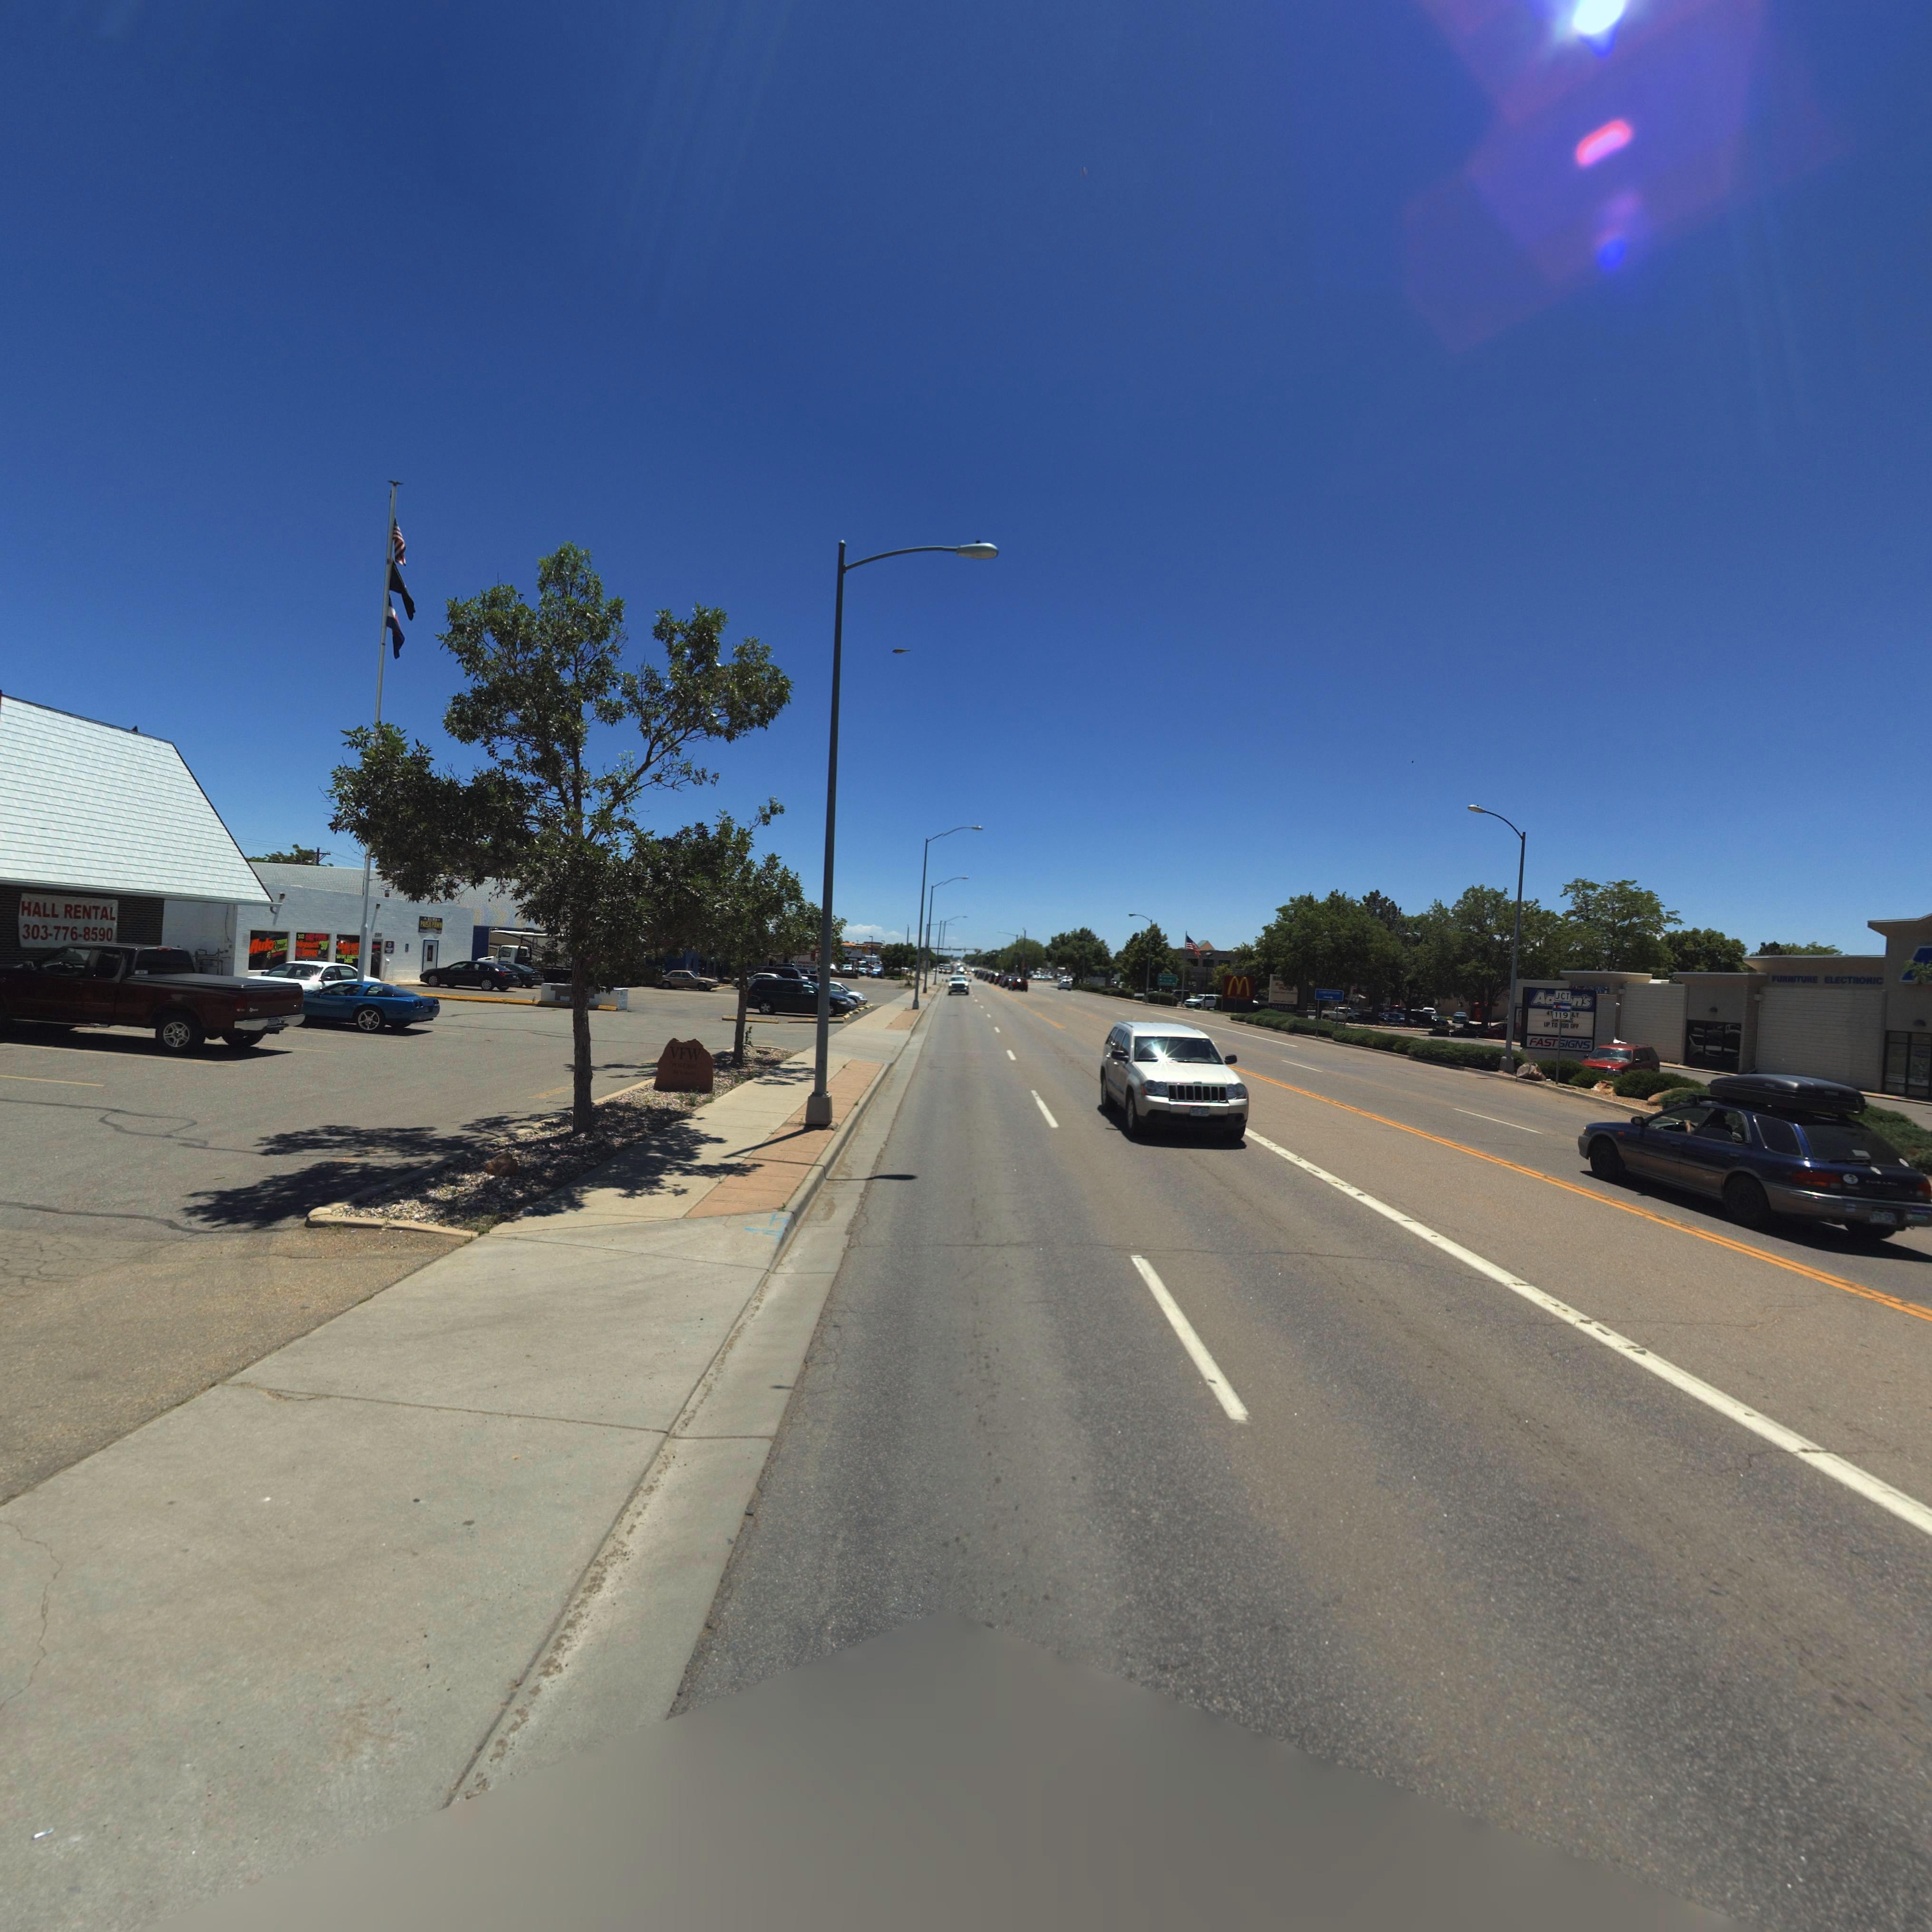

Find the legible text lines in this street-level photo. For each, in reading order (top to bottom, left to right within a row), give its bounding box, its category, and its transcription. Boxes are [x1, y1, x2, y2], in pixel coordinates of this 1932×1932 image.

[423, 917, 439, 921] BusinessName: AUTO
[420, 920, 442, 928] BusinessName: PA*S* P***
[374, 931, 383, 937] StreetNumber: **8
[273, 941, 288, 952] None: zz*
[851, 946, 866, 949] BusinessName: ZOE
[795, 960, 816, 965] BusinessName: LONGMON*
[1273, 976, 1282, 981] BusinessName: BI*
[1275, 982, 1279, 986] BusinessName: L
[1278, 986, 1284, 990] BusinessName: M
[1532, 991, 1592, 1008] BusinessName: Aa**n's
[1528, 1037, 1591, 1049] BusinessName: FAST SIGNS
[669, 1046, 702, 1061] BusinessName: VFW